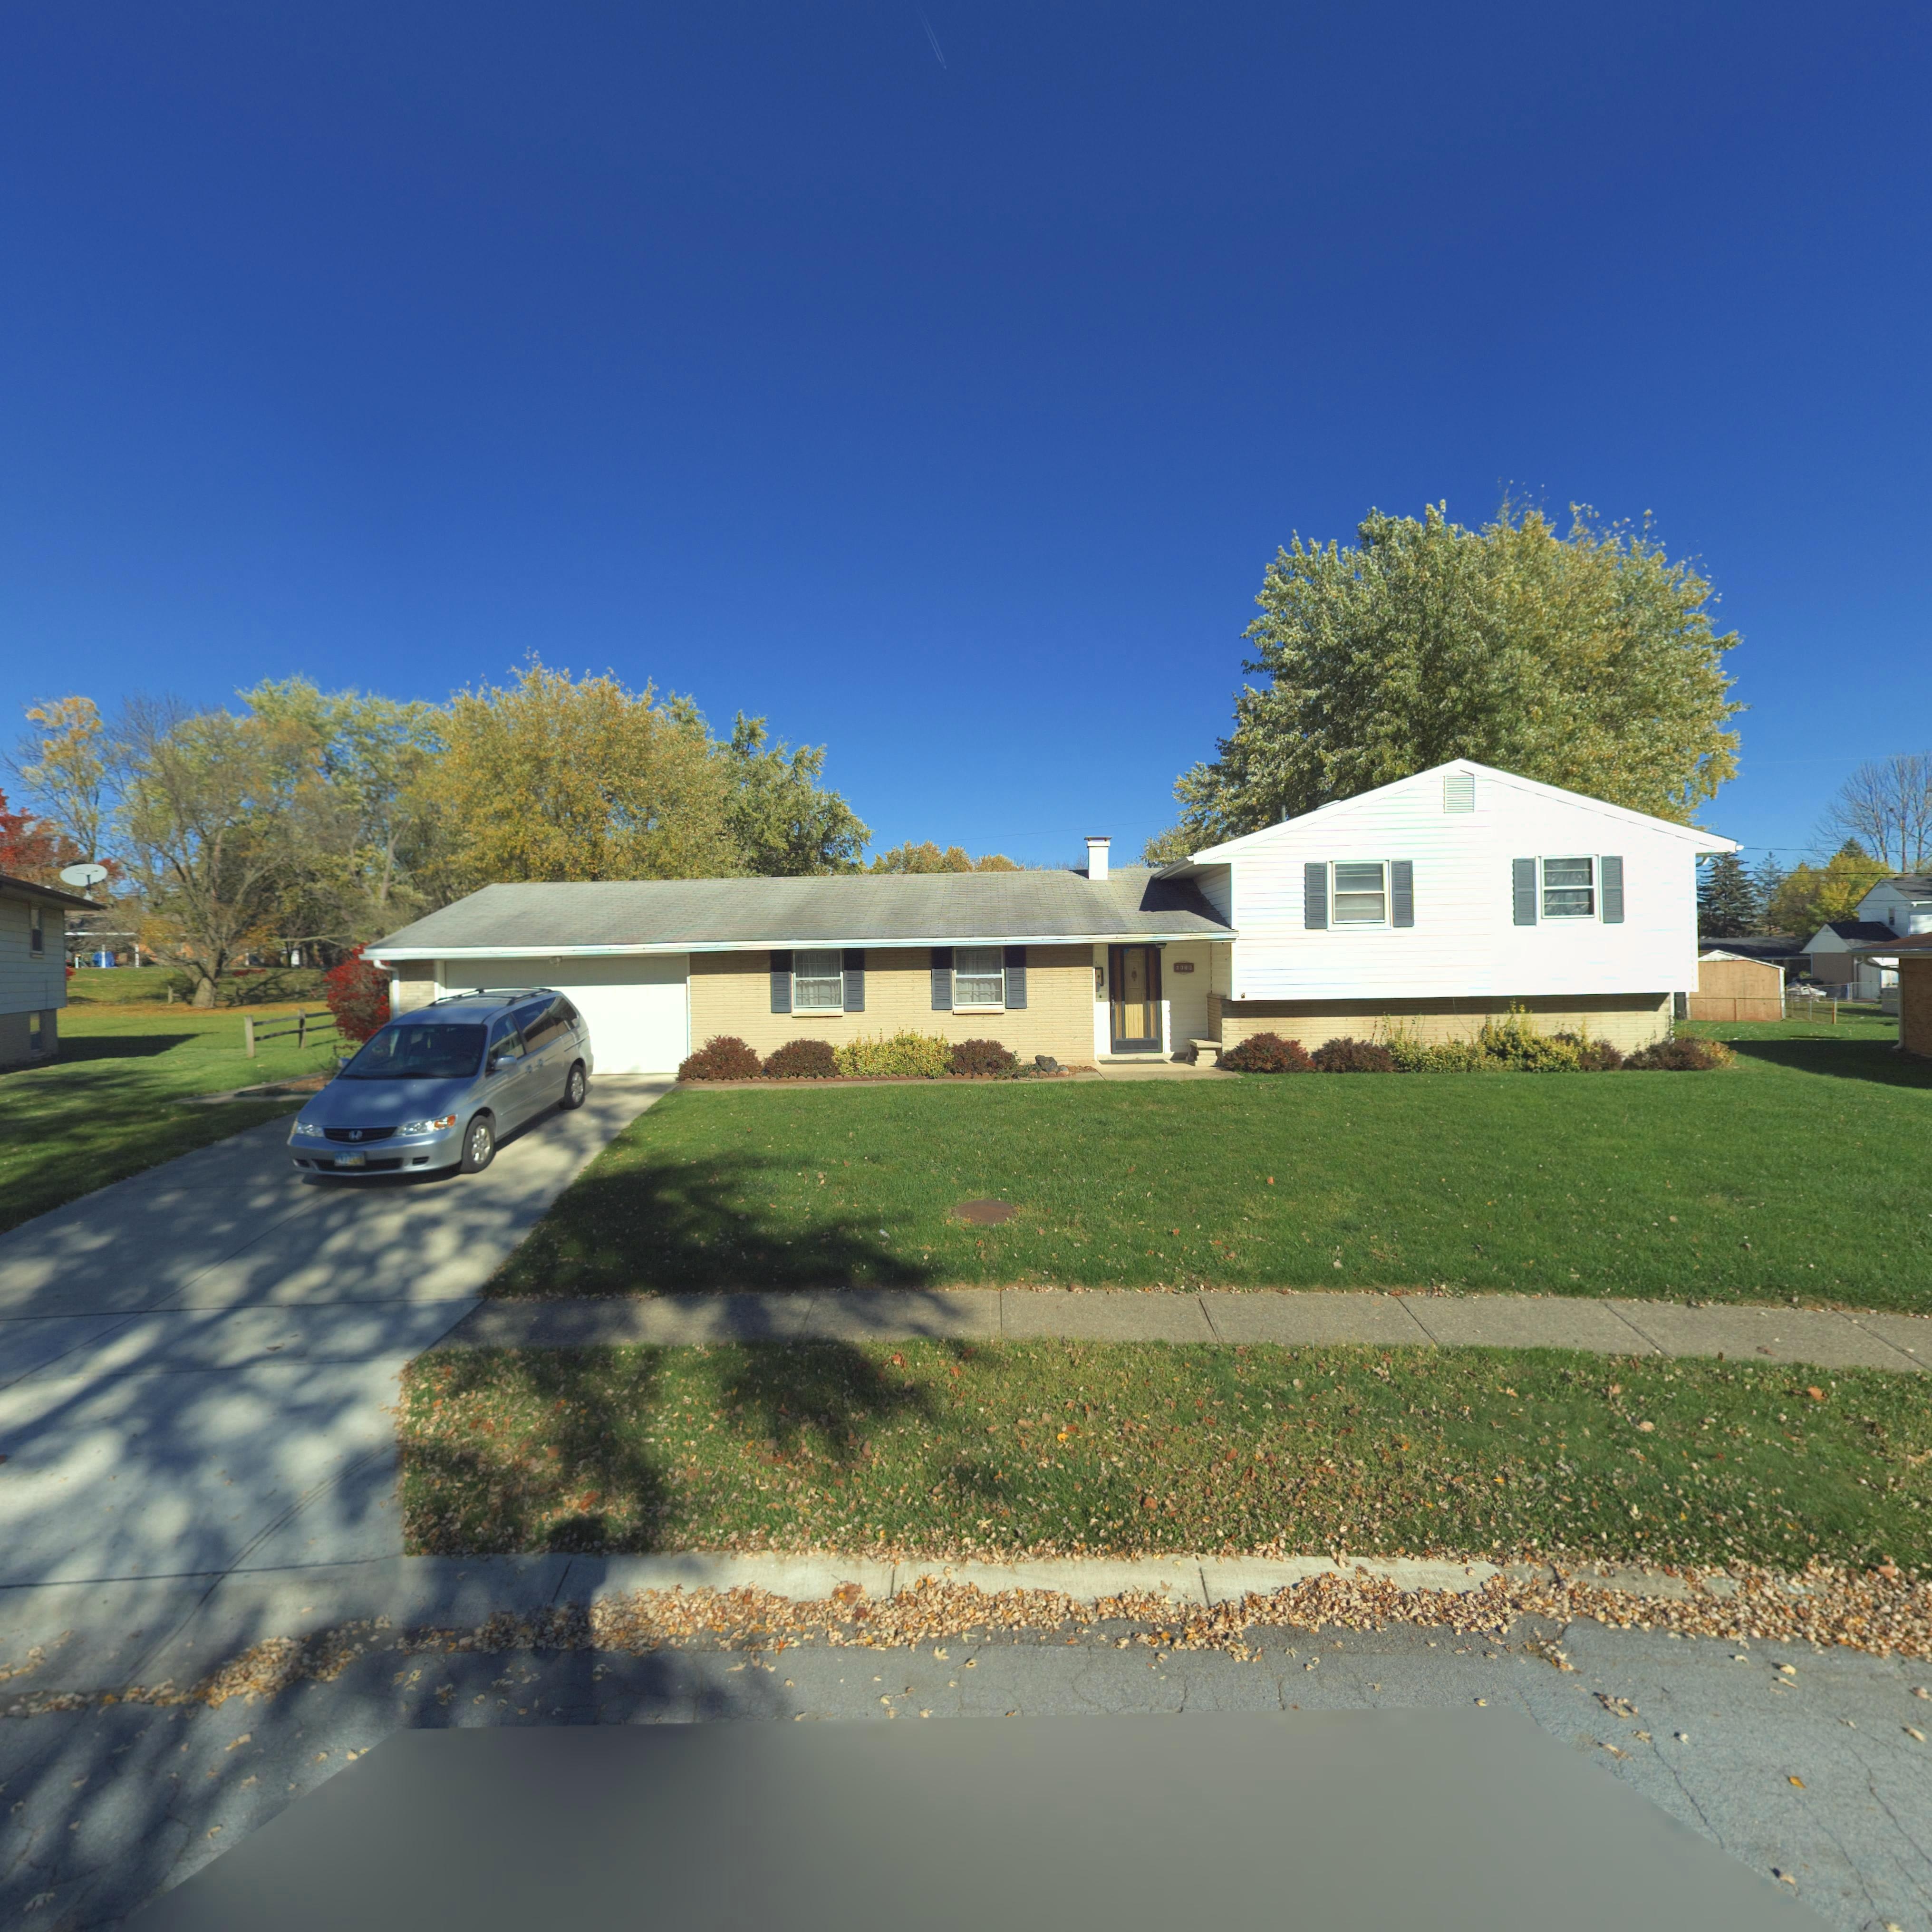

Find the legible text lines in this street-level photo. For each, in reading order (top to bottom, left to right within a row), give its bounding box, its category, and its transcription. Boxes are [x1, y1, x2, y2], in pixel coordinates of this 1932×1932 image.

[1175, 965, 1192, 970] StreetNumber: 30**